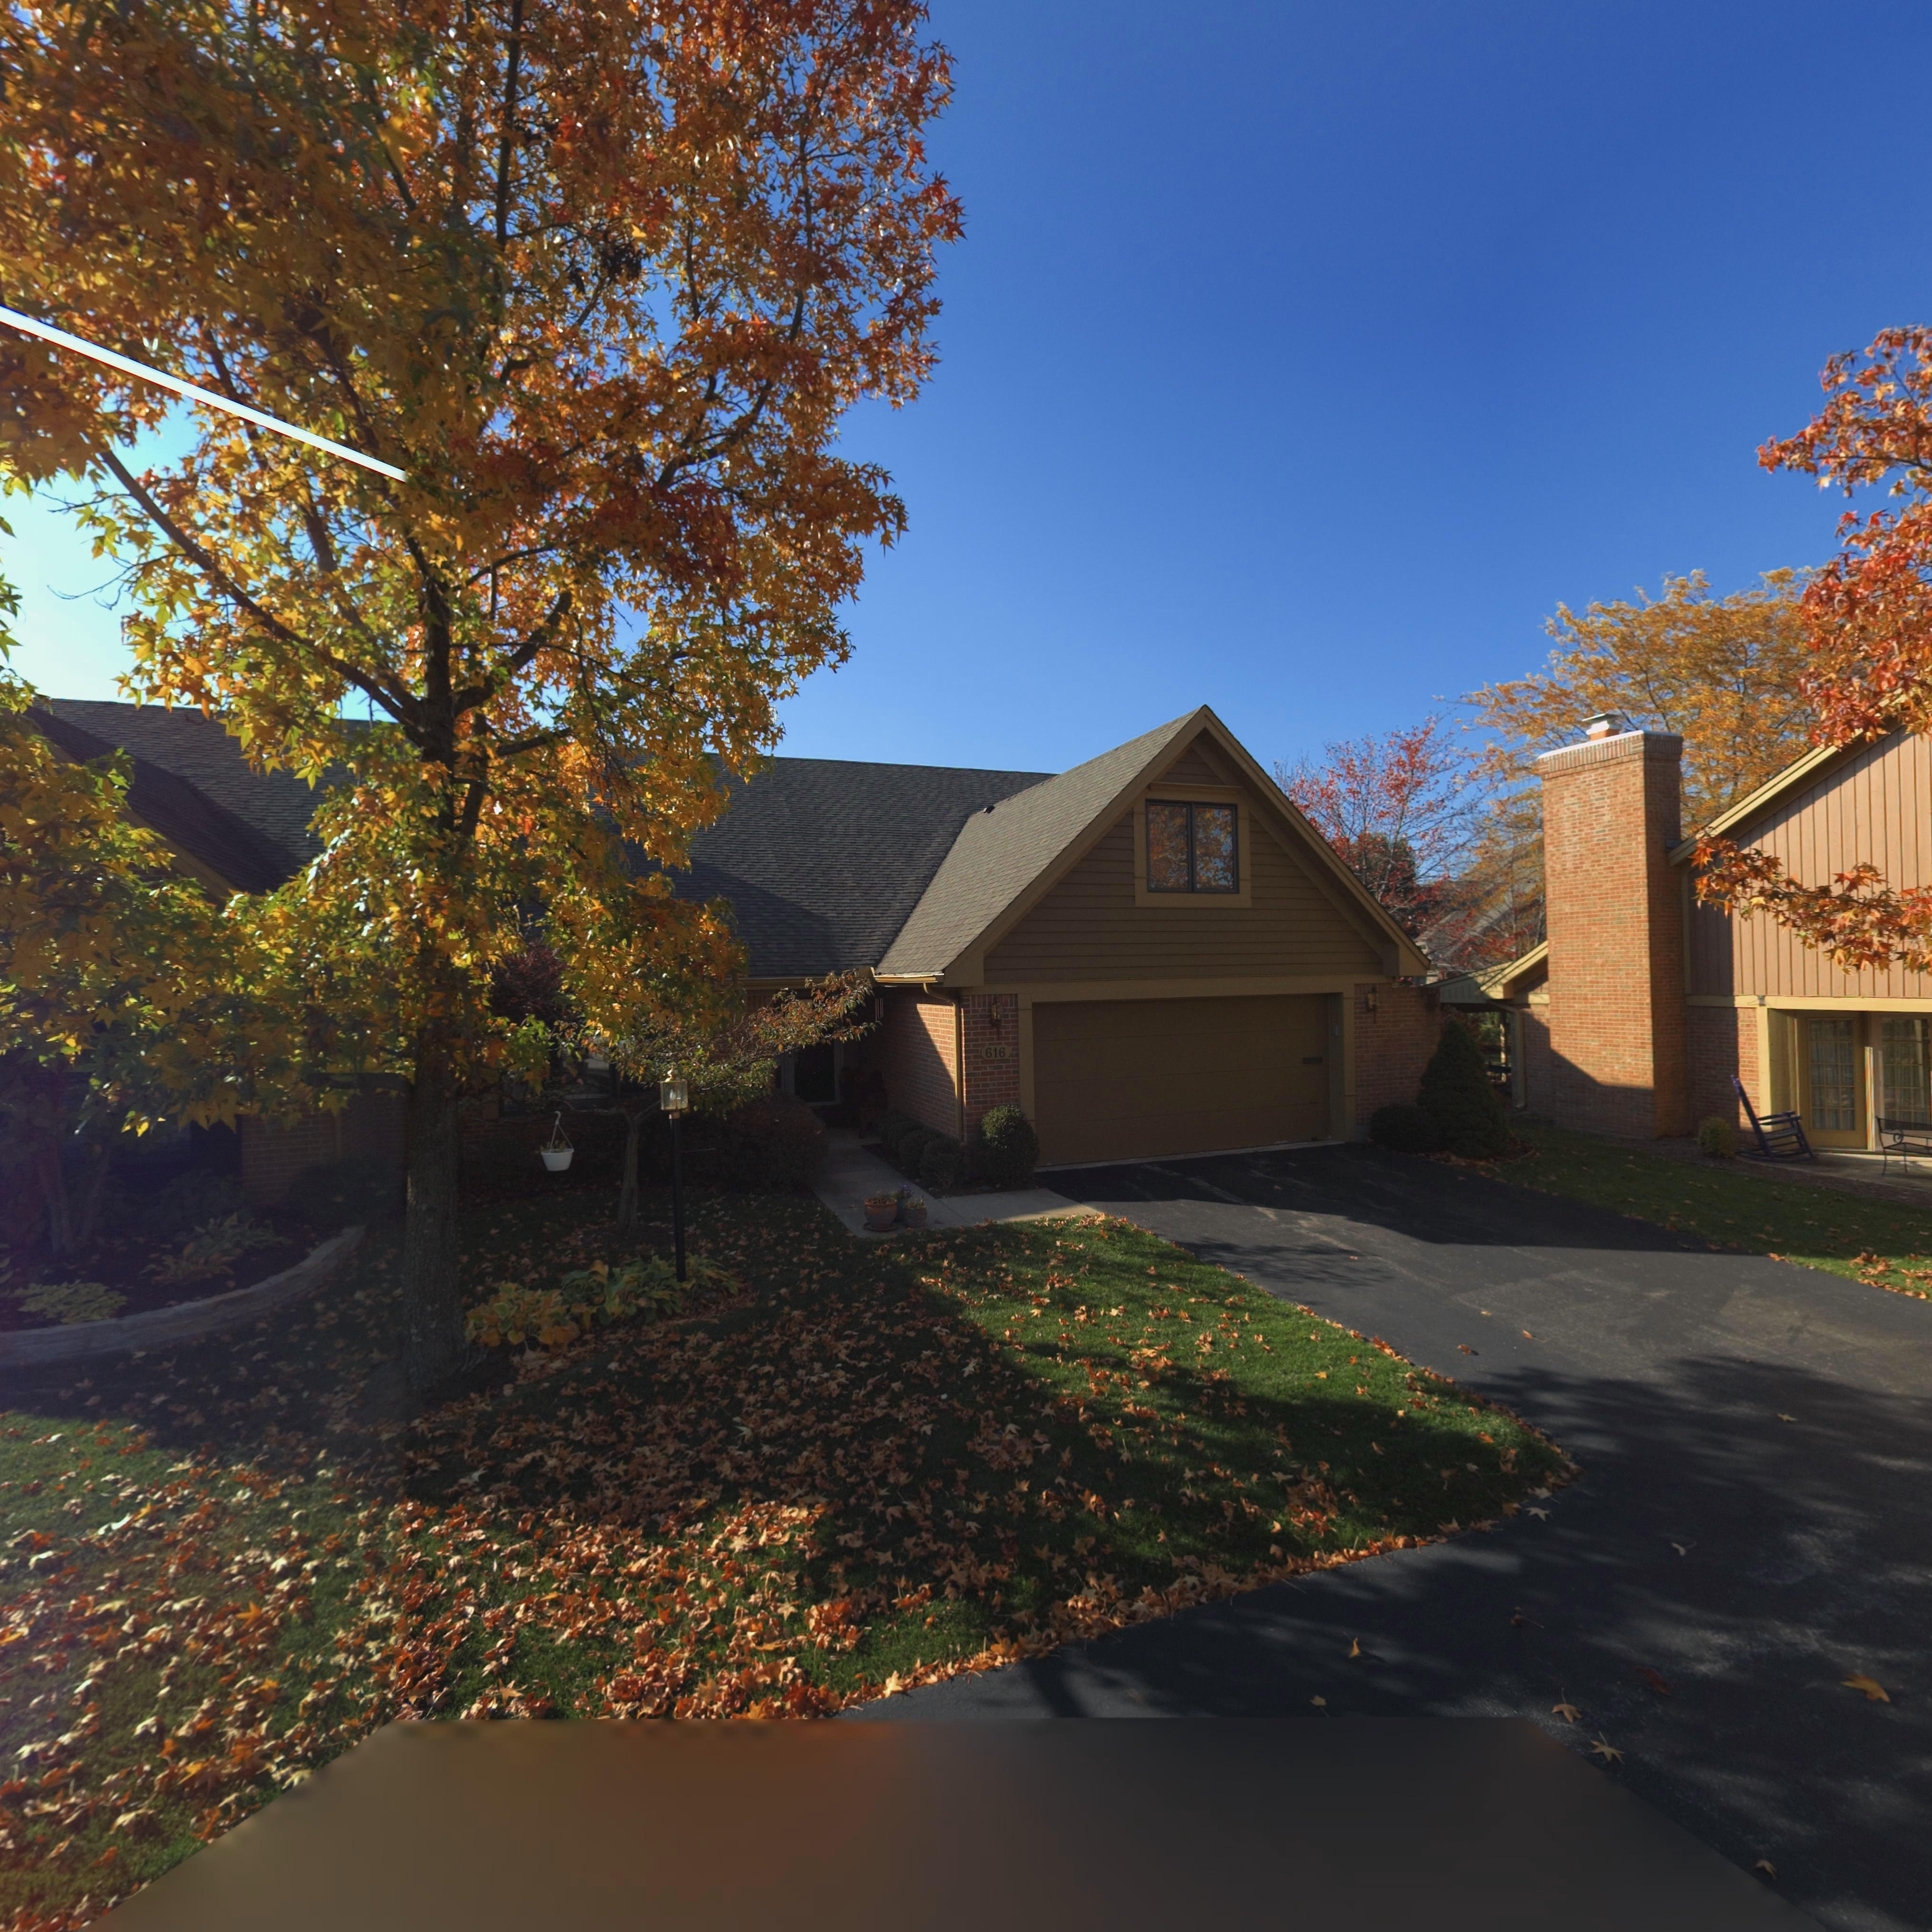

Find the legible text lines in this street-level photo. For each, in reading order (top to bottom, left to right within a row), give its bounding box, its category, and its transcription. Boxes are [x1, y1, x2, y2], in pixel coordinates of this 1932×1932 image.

[985, 1046, 1007, 1059] StreetNumber: 616